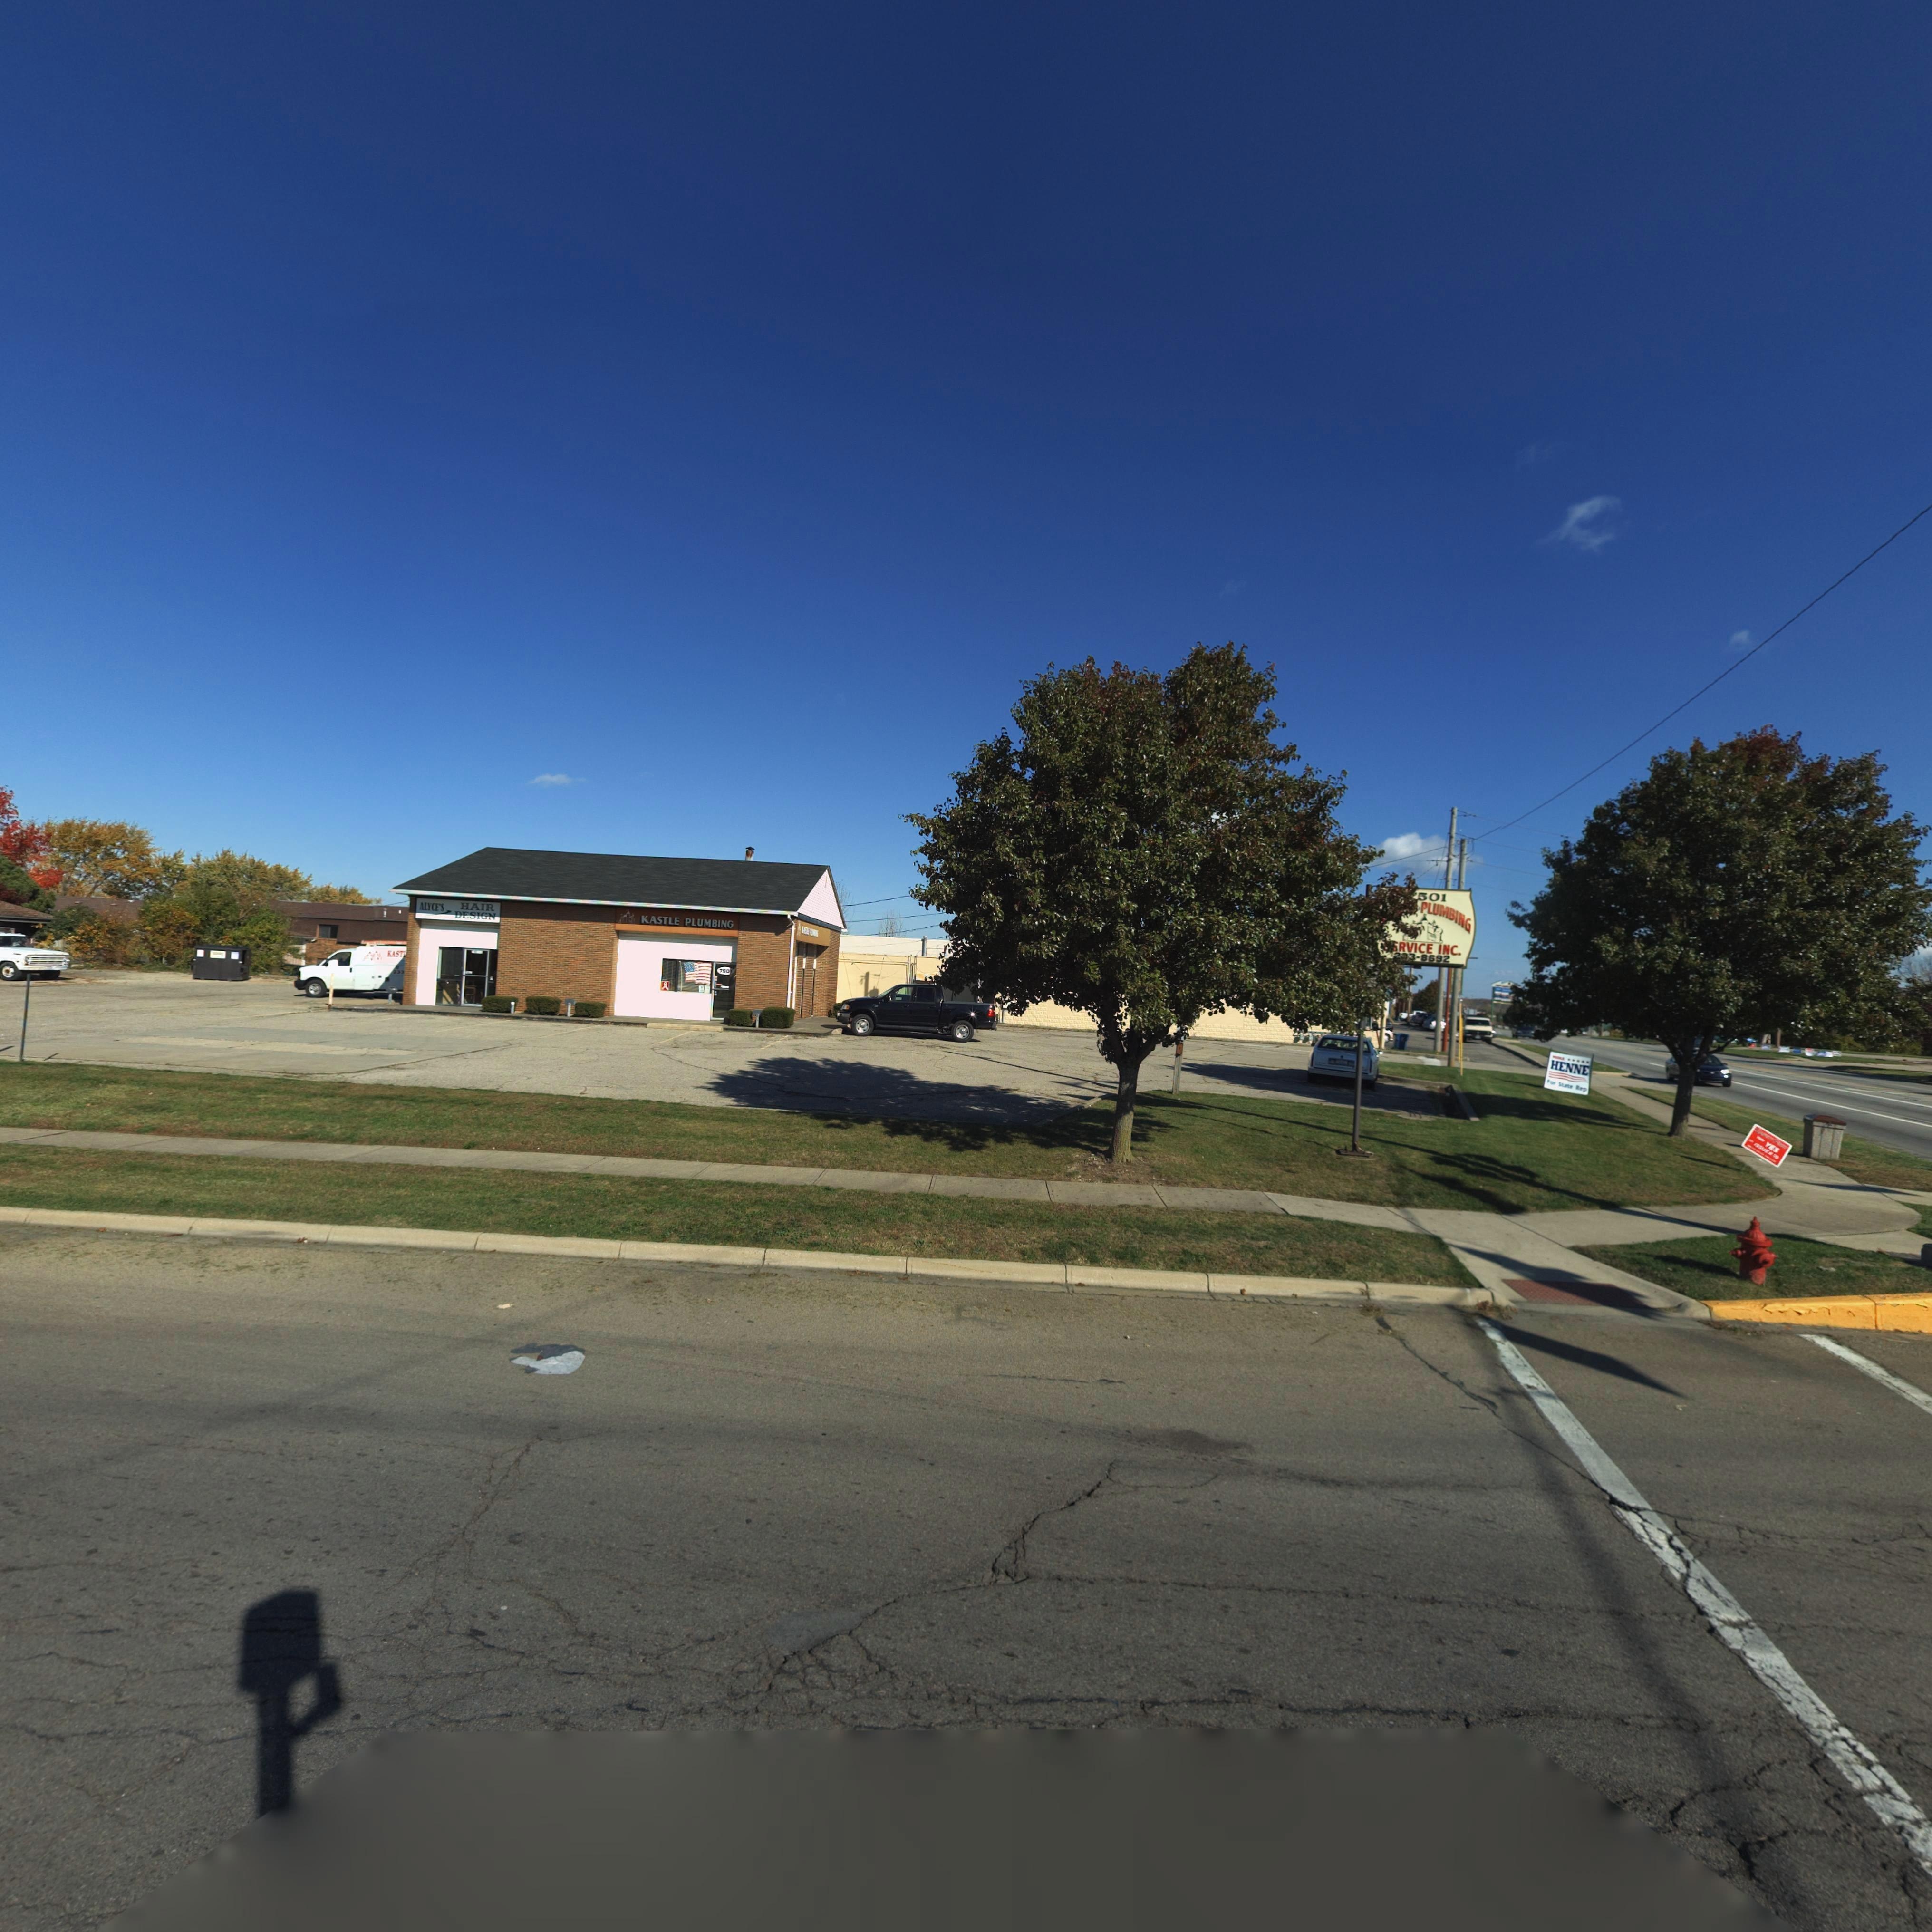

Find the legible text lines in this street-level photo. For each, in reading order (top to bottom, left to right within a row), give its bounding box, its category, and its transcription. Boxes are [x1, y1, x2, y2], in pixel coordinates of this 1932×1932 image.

[1417, 892, 1447, 902] StreetNumber: 501
[418, 901, 445, 912] BusinessName: ALYCE'S
[460, 902, 495, 912] BusinessName: HAIR
[454, 910, 497, 921] BusinessName: DESIGN
[640, 915, 734, 929] BusinessName: KASTLE PLUMBING
[1420, 901, 1472, 935] BusinessName: PLUMBING
[1398, 941, 1462, 956] BusinessName: RVICE INC.
[719, 968, 733, 974] StreetNumber: 7501